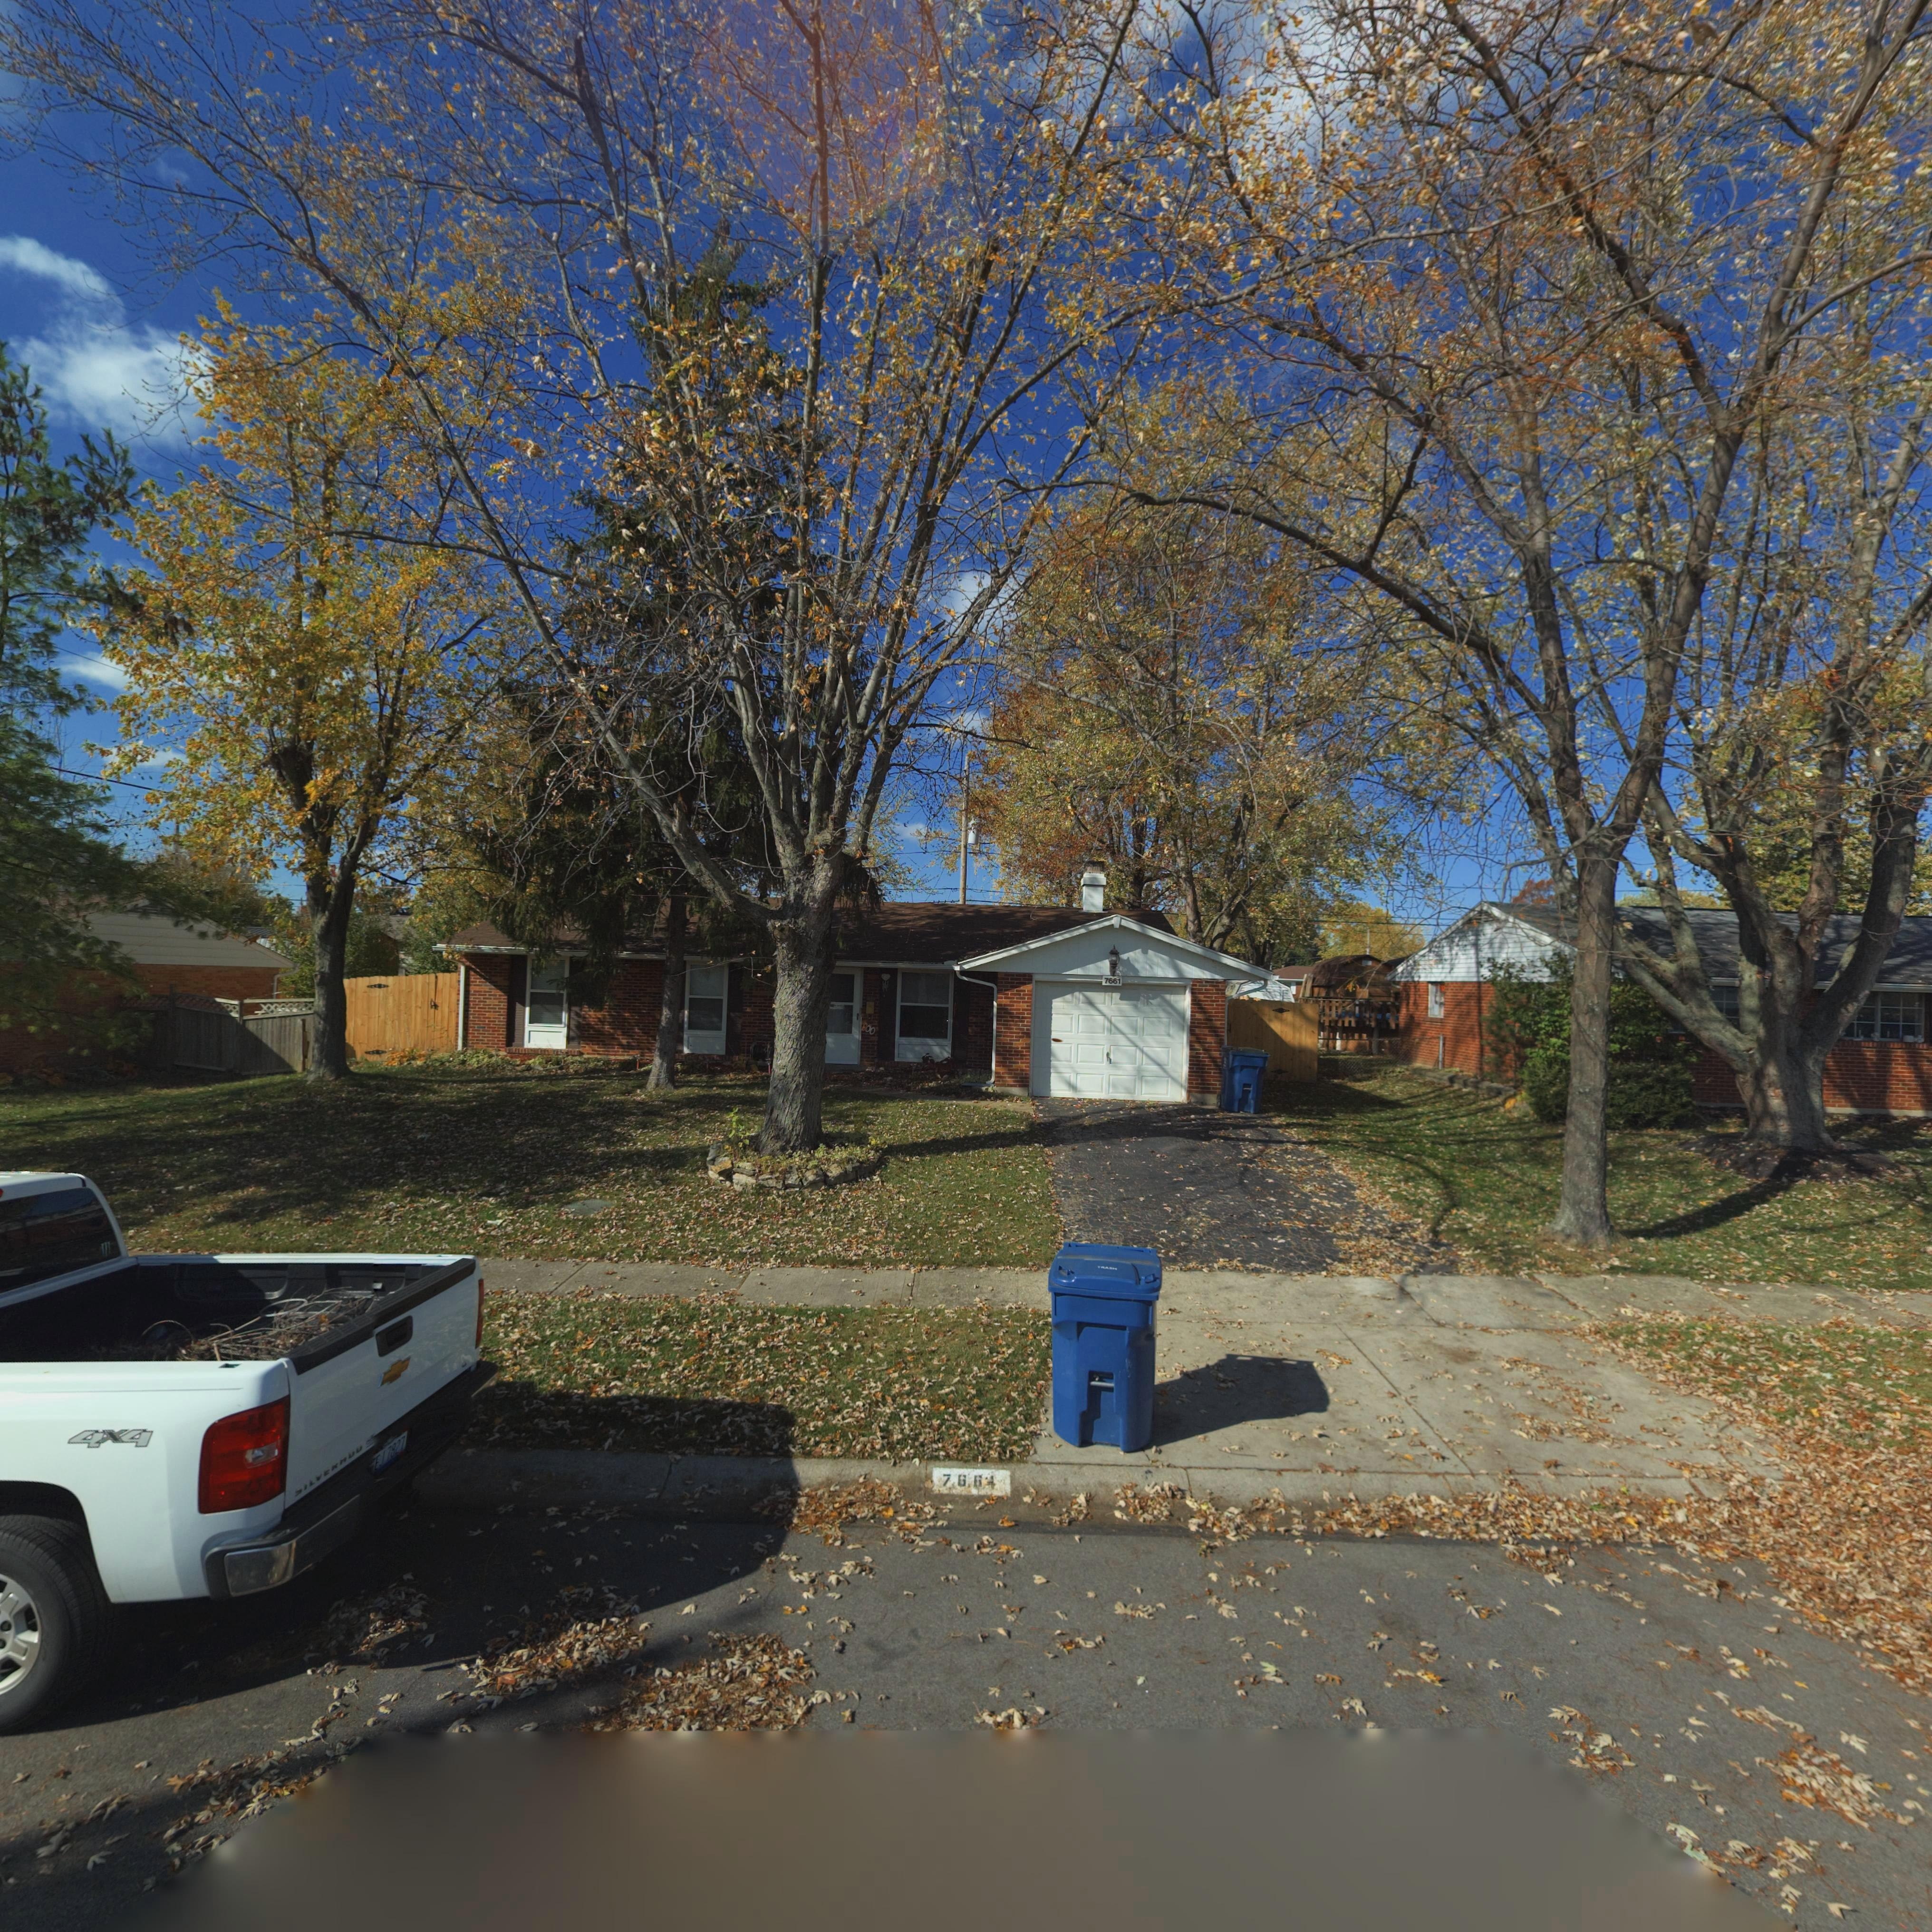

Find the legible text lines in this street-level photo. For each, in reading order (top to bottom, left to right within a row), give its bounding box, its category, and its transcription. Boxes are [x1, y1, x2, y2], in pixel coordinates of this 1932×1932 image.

[1103, 977, 1121, 985] StreetNumber: 7661
[941, 1472, 995, 1490] StreetNumber: 766*